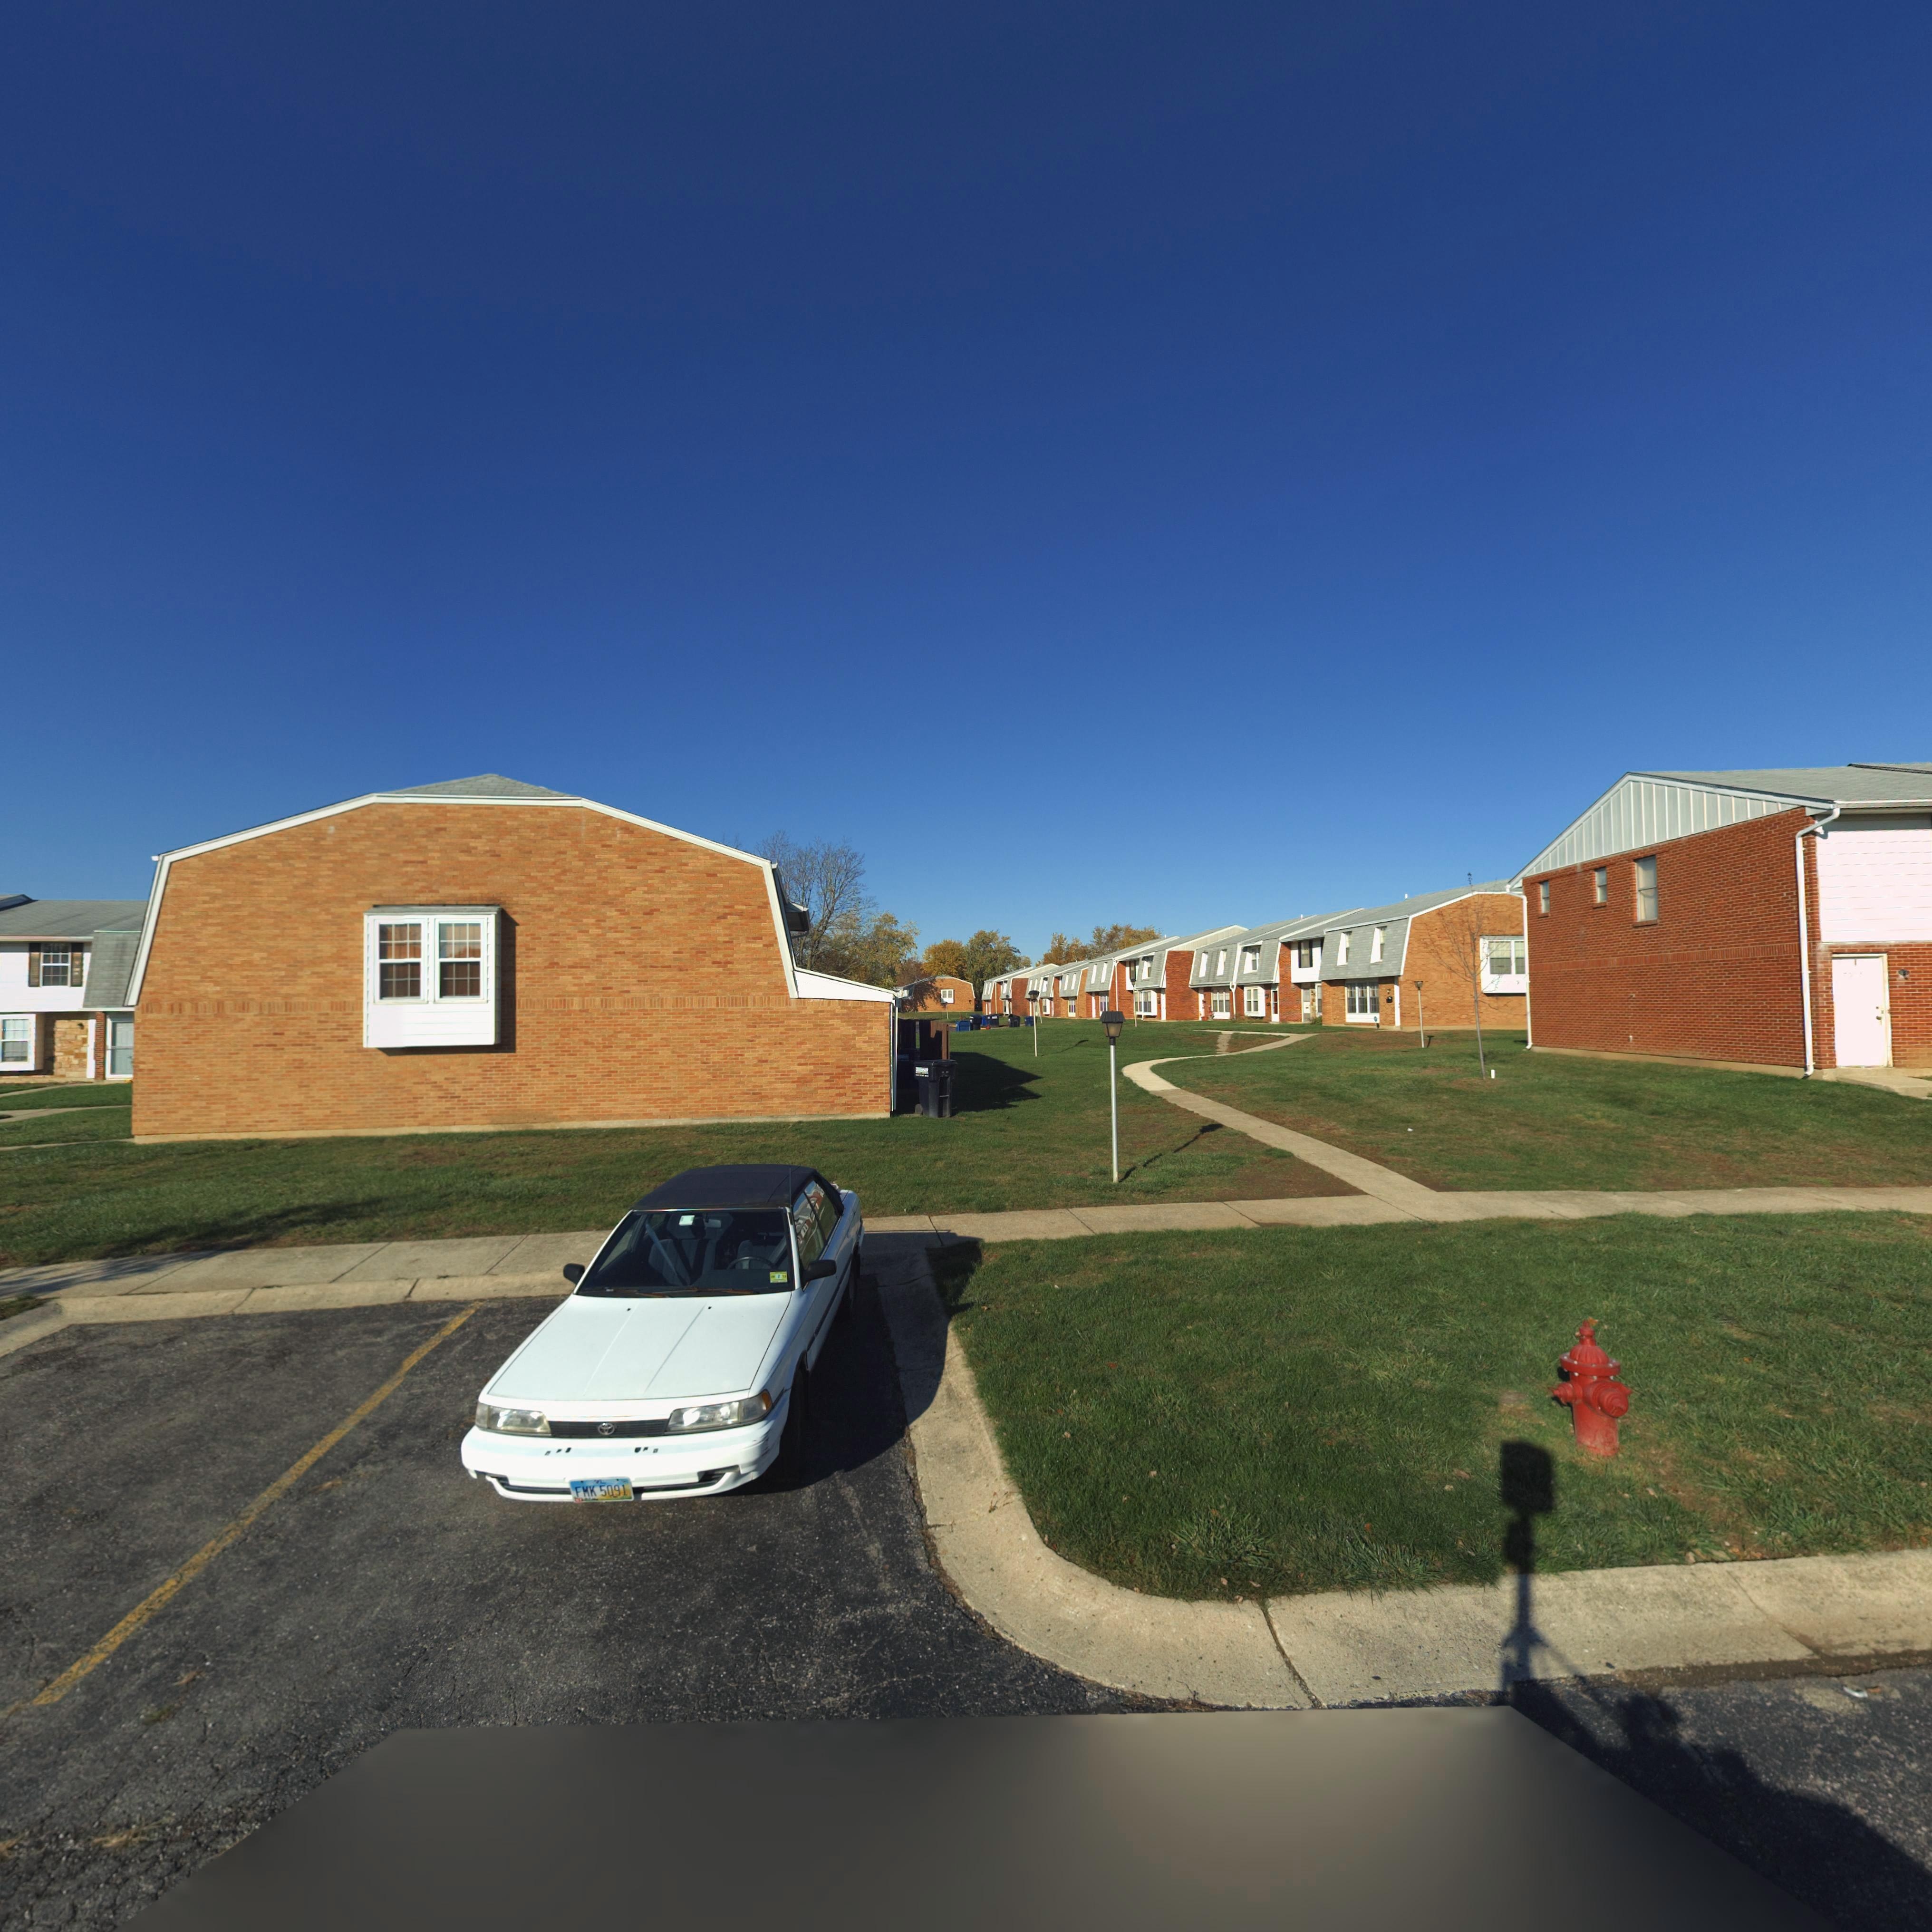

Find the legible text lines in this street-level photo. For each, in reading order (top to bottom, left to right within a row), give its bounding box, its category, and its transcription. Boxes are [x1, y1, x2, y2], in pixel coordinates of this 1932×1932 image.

[1843, 972, 1848, 978] StreetNumber: 7